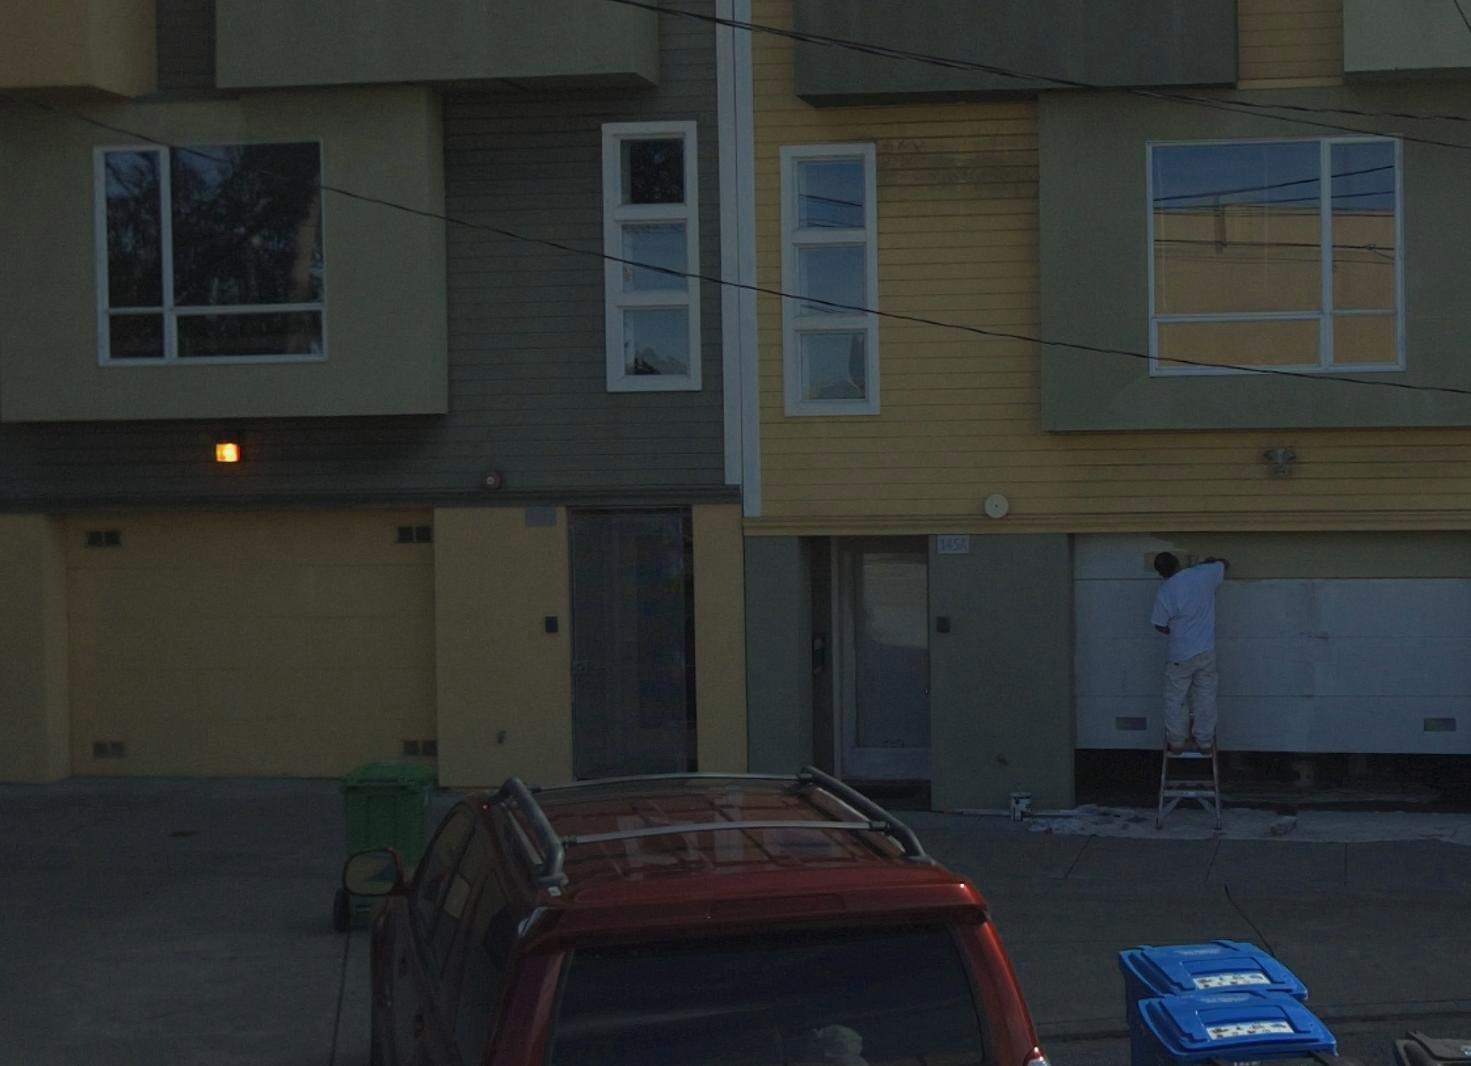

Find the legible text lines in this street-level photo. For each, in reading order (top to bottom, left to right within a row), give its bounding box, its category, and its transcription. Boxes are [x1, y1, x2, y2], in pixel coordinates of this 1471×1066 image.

[938, 536, 970, 553] StreetNumber: 145A